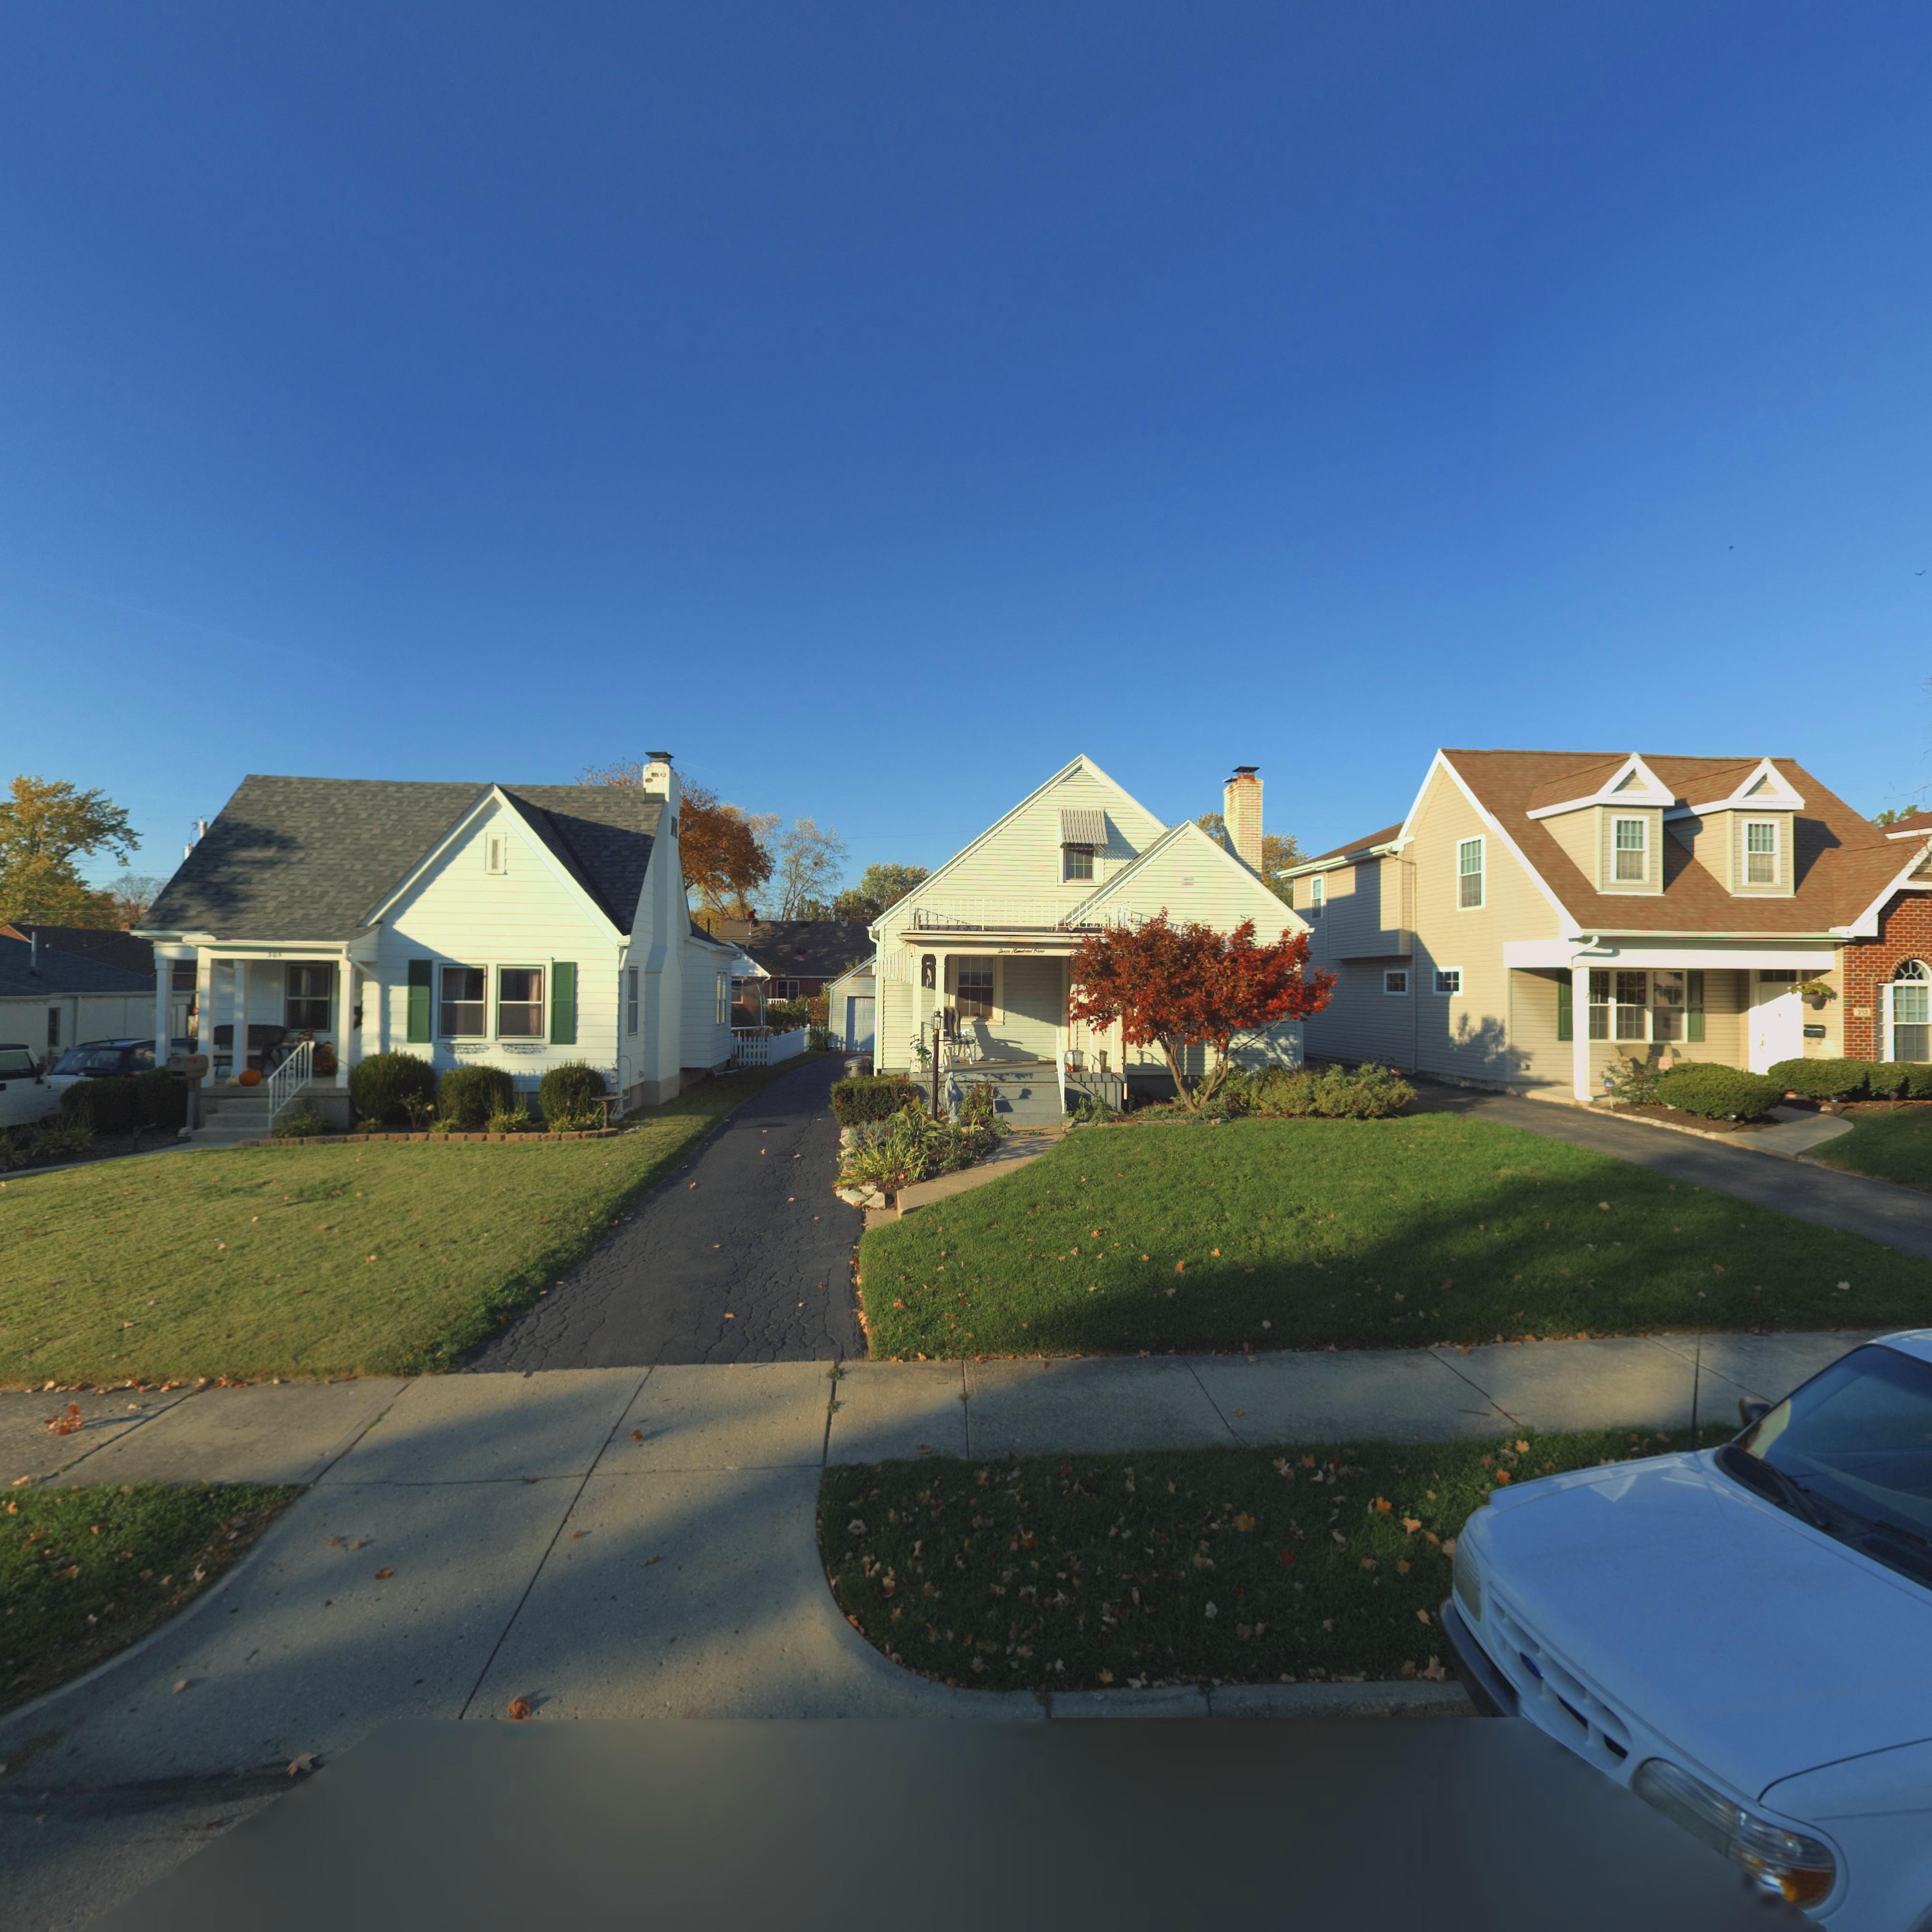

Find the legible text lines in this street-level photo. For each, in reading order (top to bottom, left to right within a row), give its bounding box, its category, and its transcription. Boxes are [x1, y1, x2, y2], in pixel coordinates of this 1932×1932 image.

[997, 947, 1045, 954] StreetNumber: Three Hundred Five
[267, 951, 283, 958] StreetNumber: 30*
[1856, 1009, 1868, 1015] StreetNumber: 313